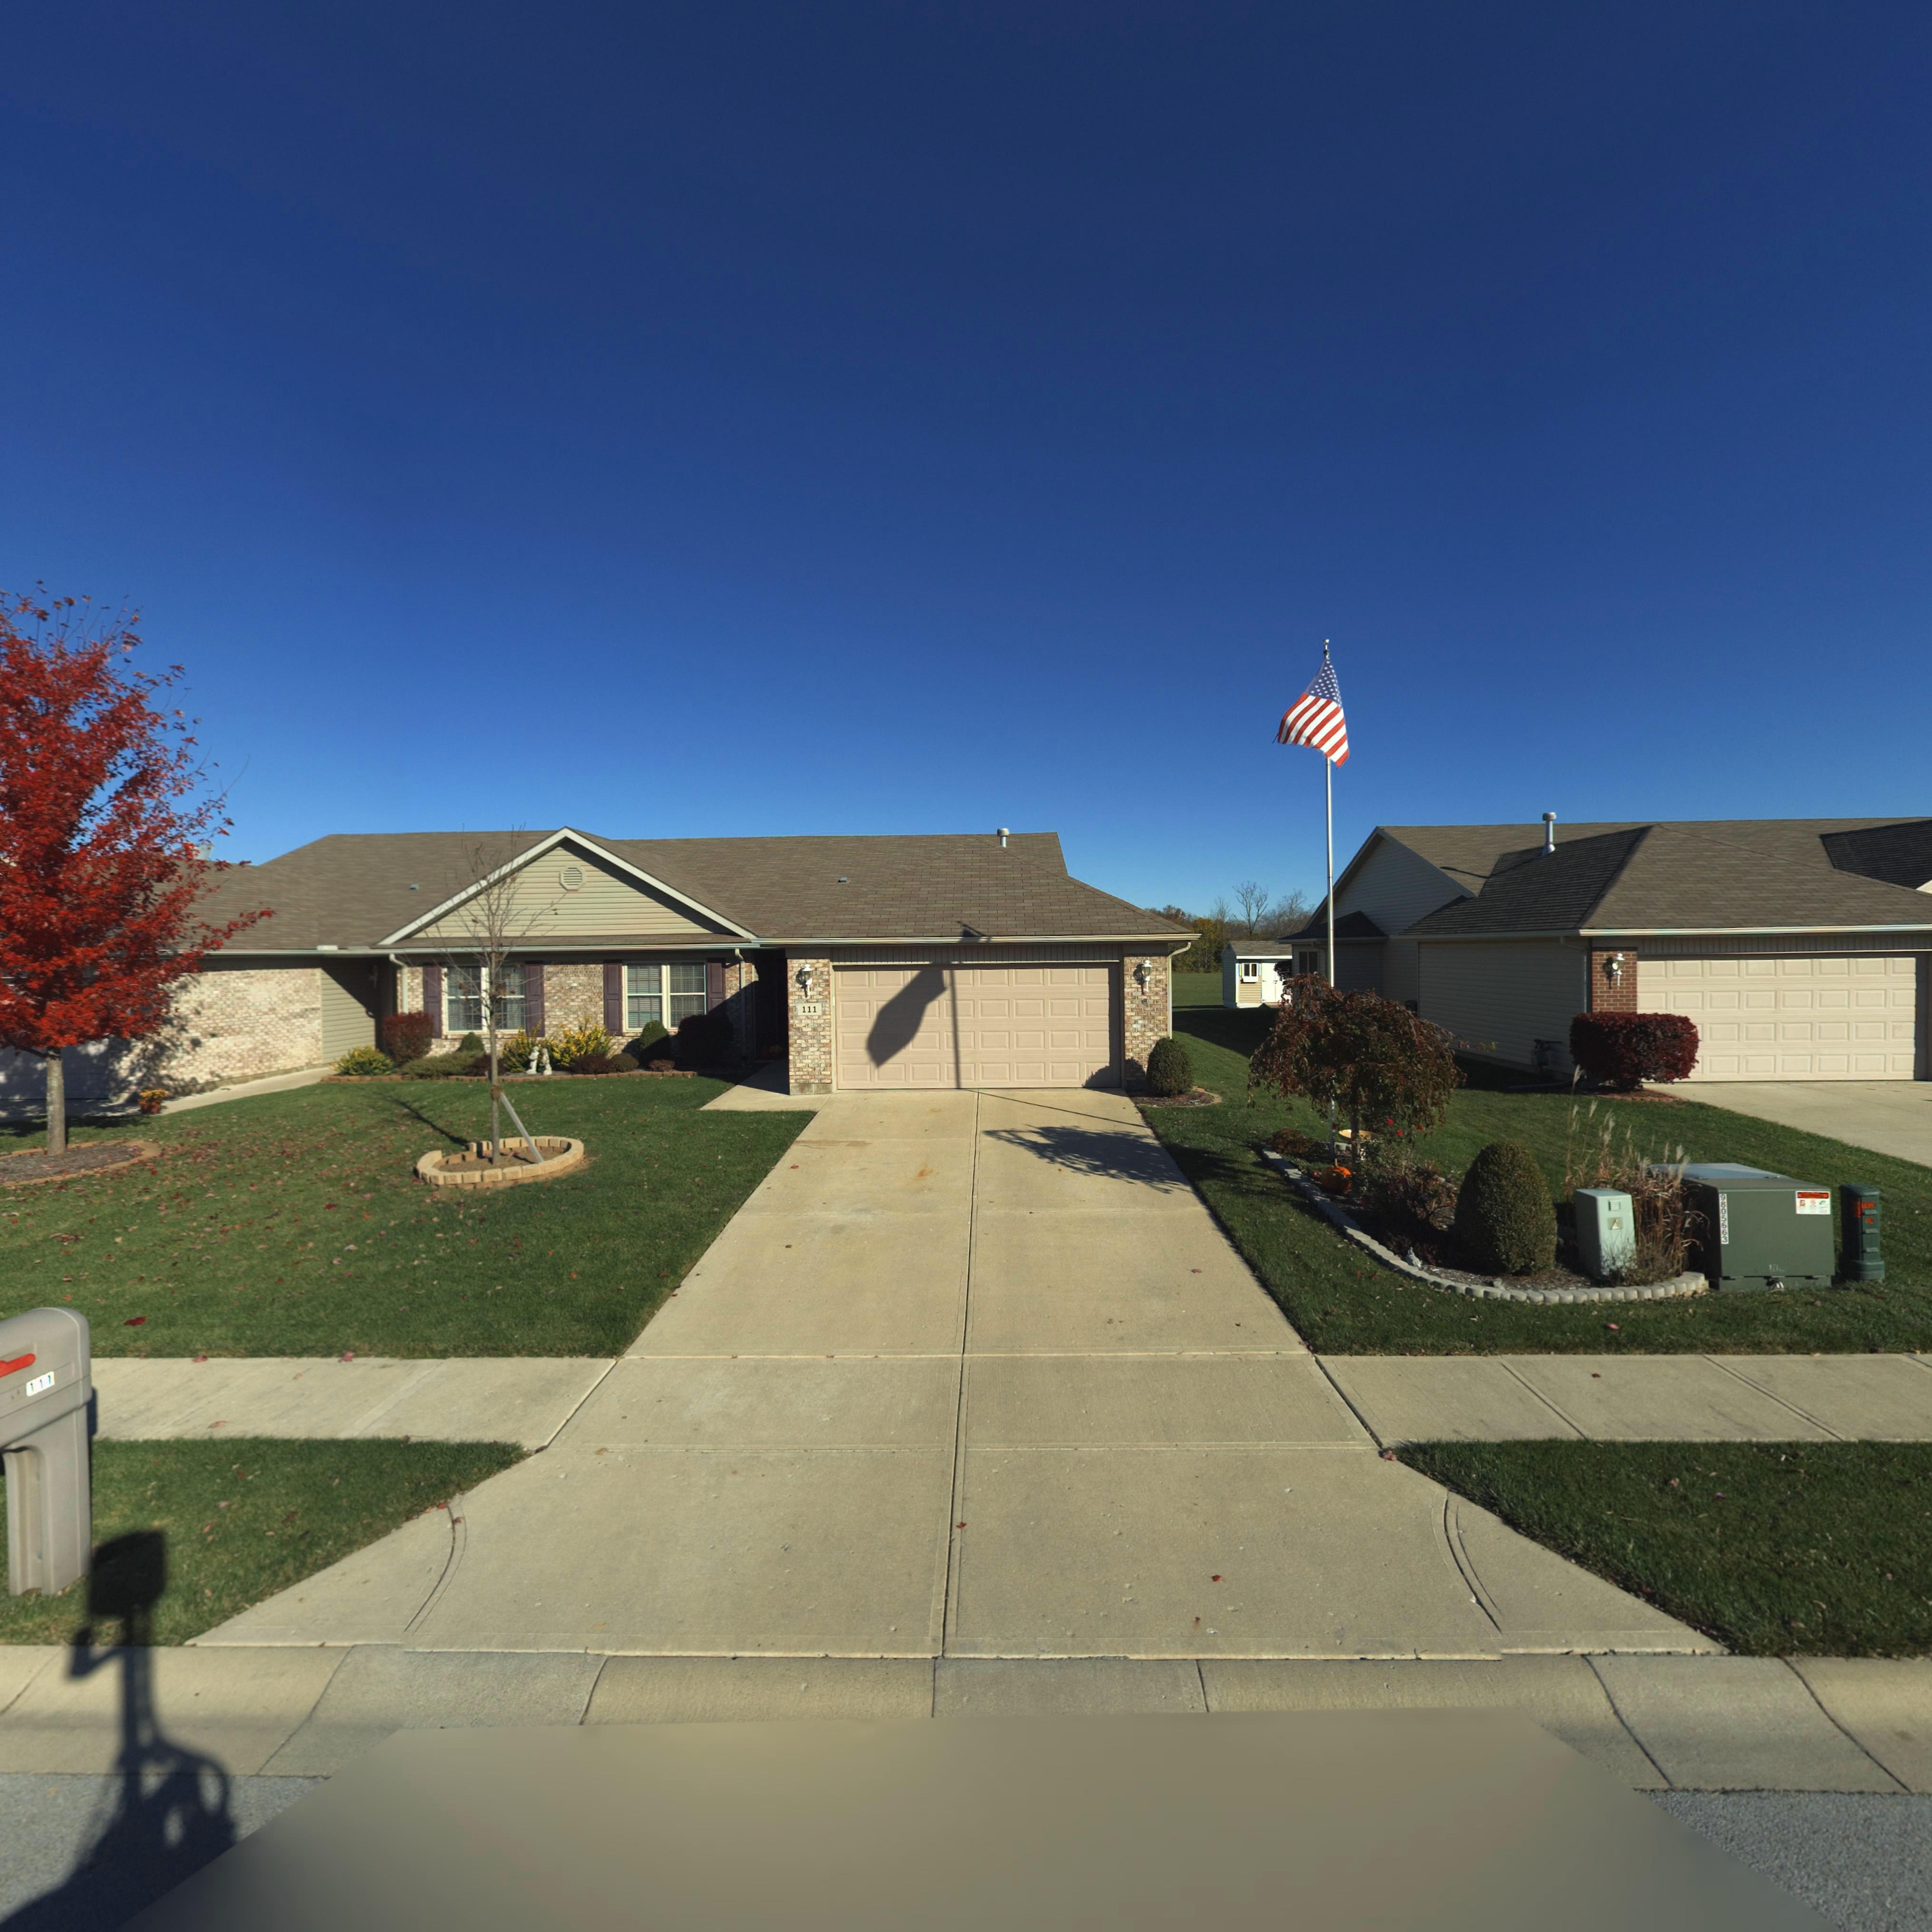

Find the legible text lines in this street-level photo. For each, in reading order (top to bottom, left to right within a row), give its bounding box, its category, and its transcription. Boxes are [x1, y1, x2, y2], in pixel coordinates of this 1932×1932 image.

[801, 1005, 818, 1014] StreetNumber: 111
[29, 1372, 53, 1394] StreetNumber: 111